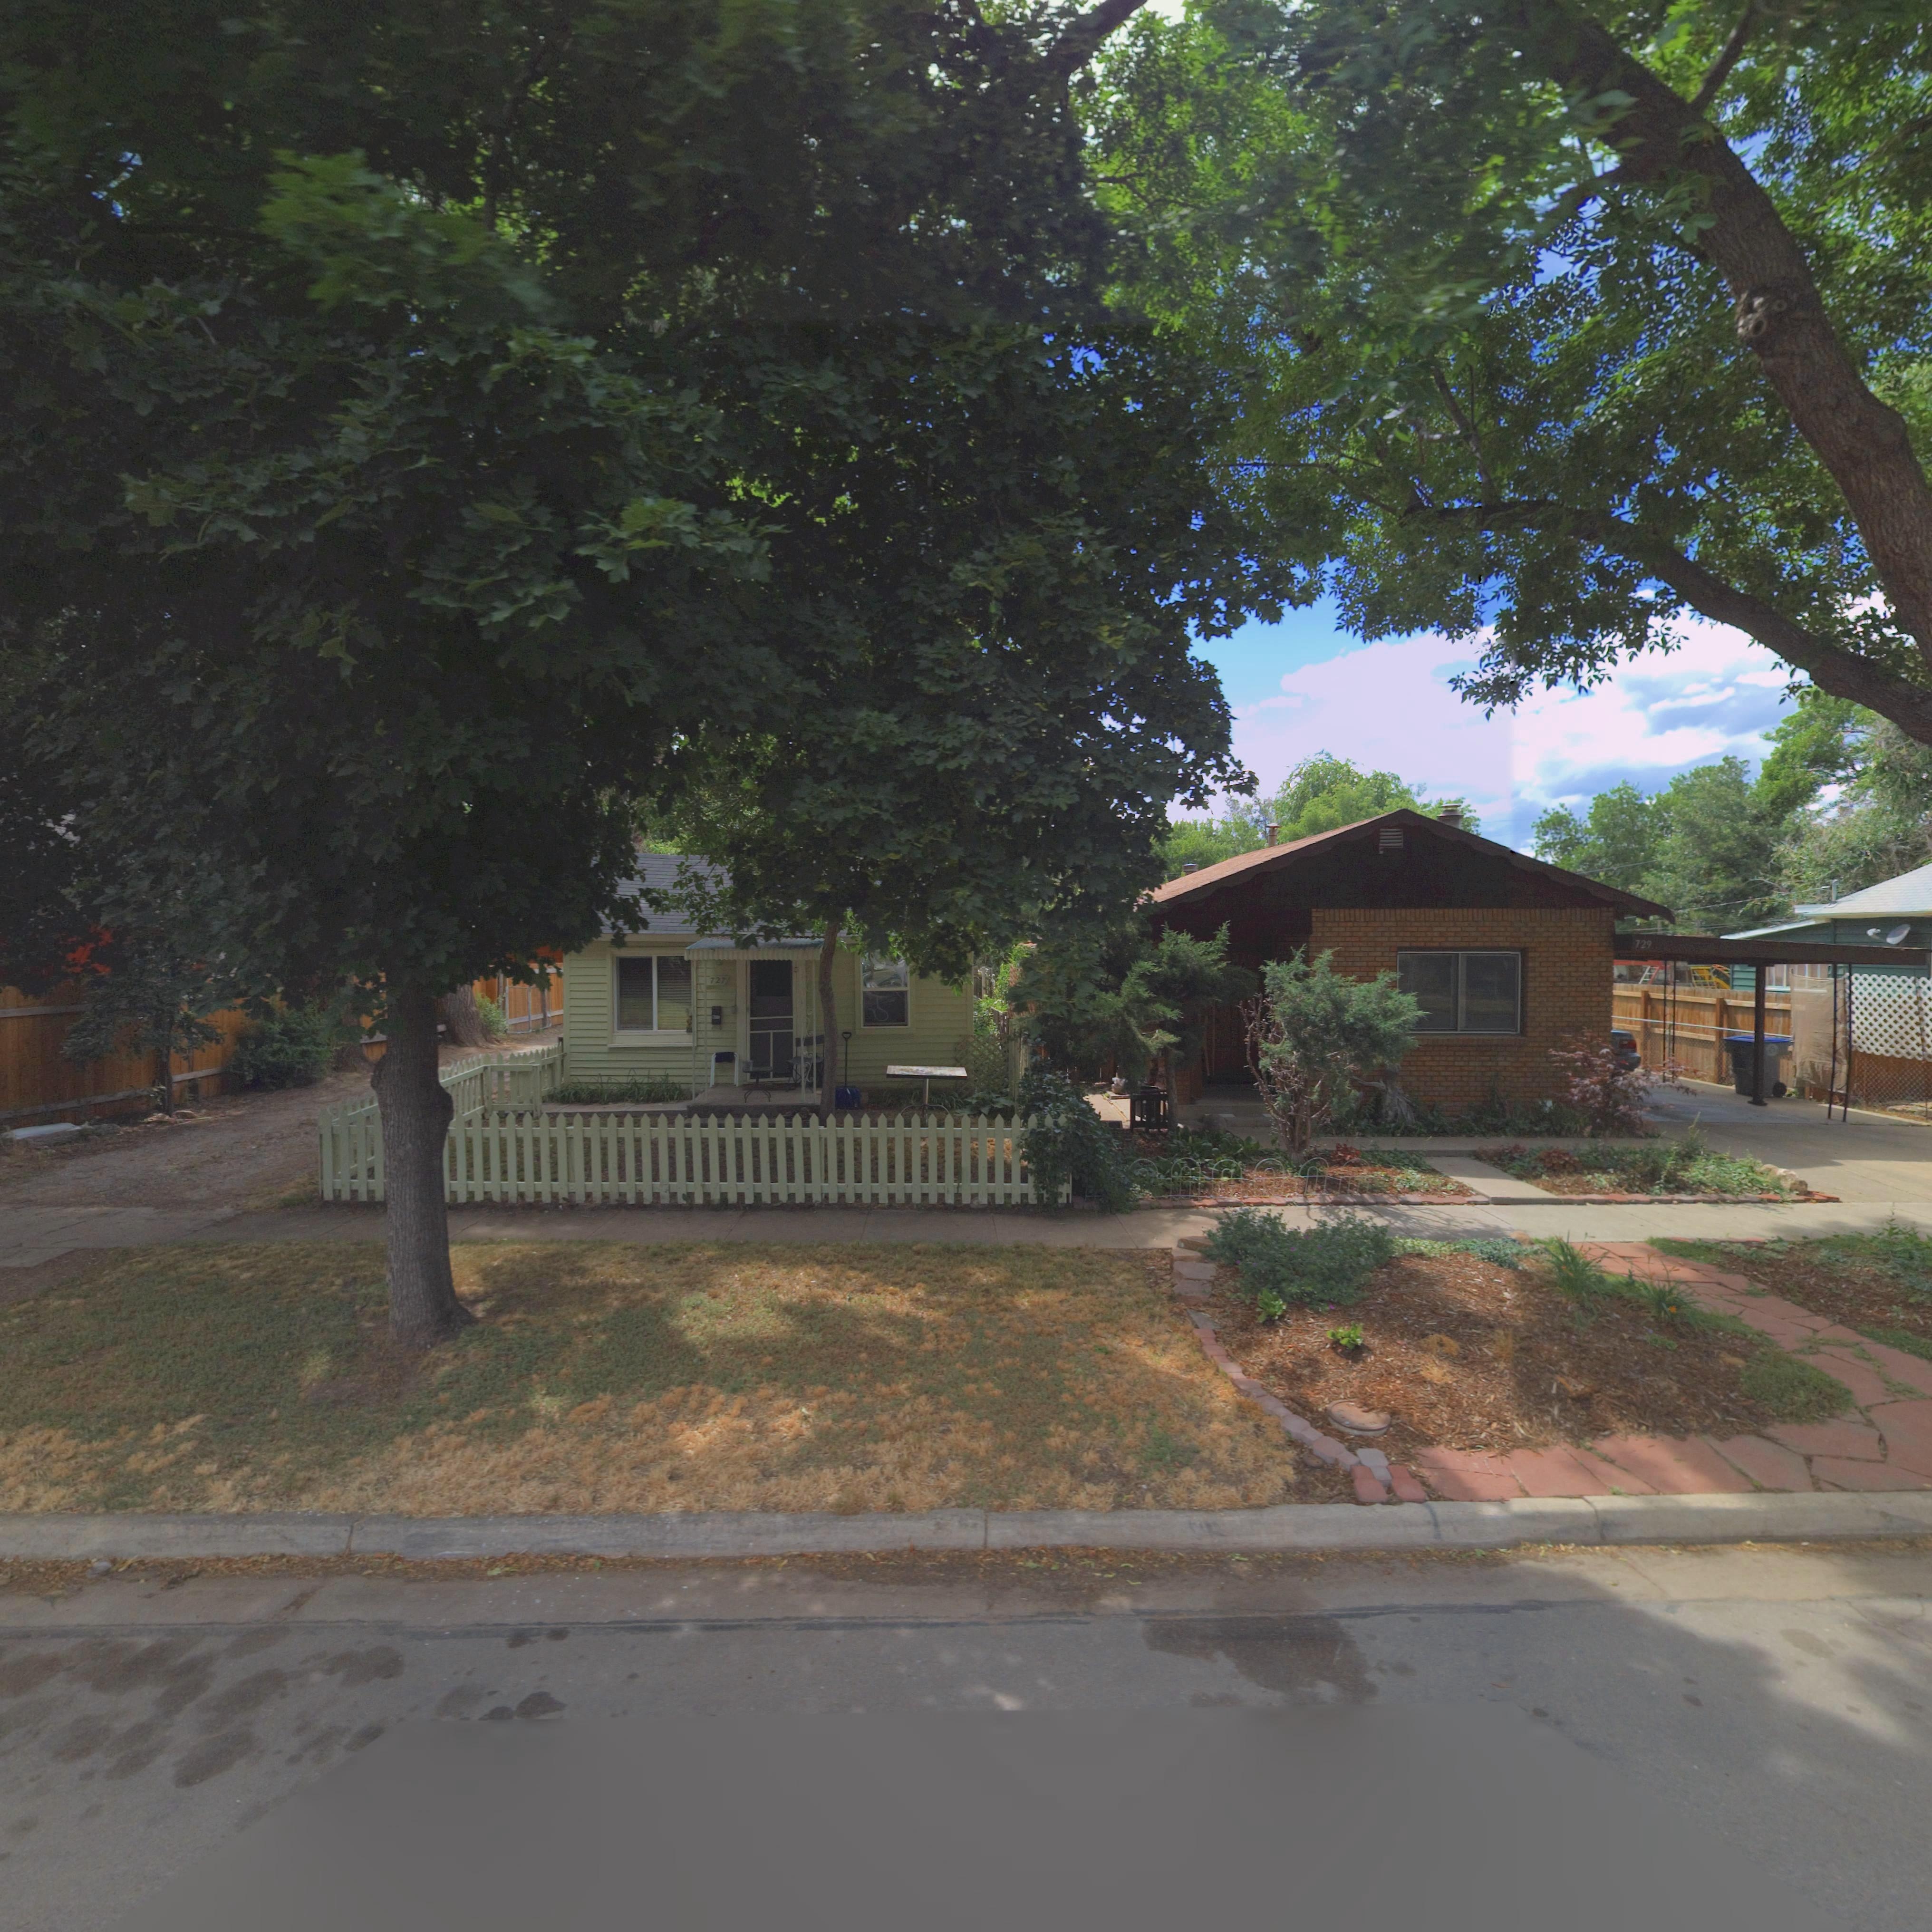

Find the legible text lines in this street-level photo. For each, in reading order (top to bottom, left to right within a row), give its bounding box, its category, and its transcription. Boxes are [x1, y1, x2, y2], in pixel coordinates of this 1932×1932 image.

[1635, 939, 1651, 948] StreetNumber: 729
[710, 976, 725, 984] StreetNumber: 727